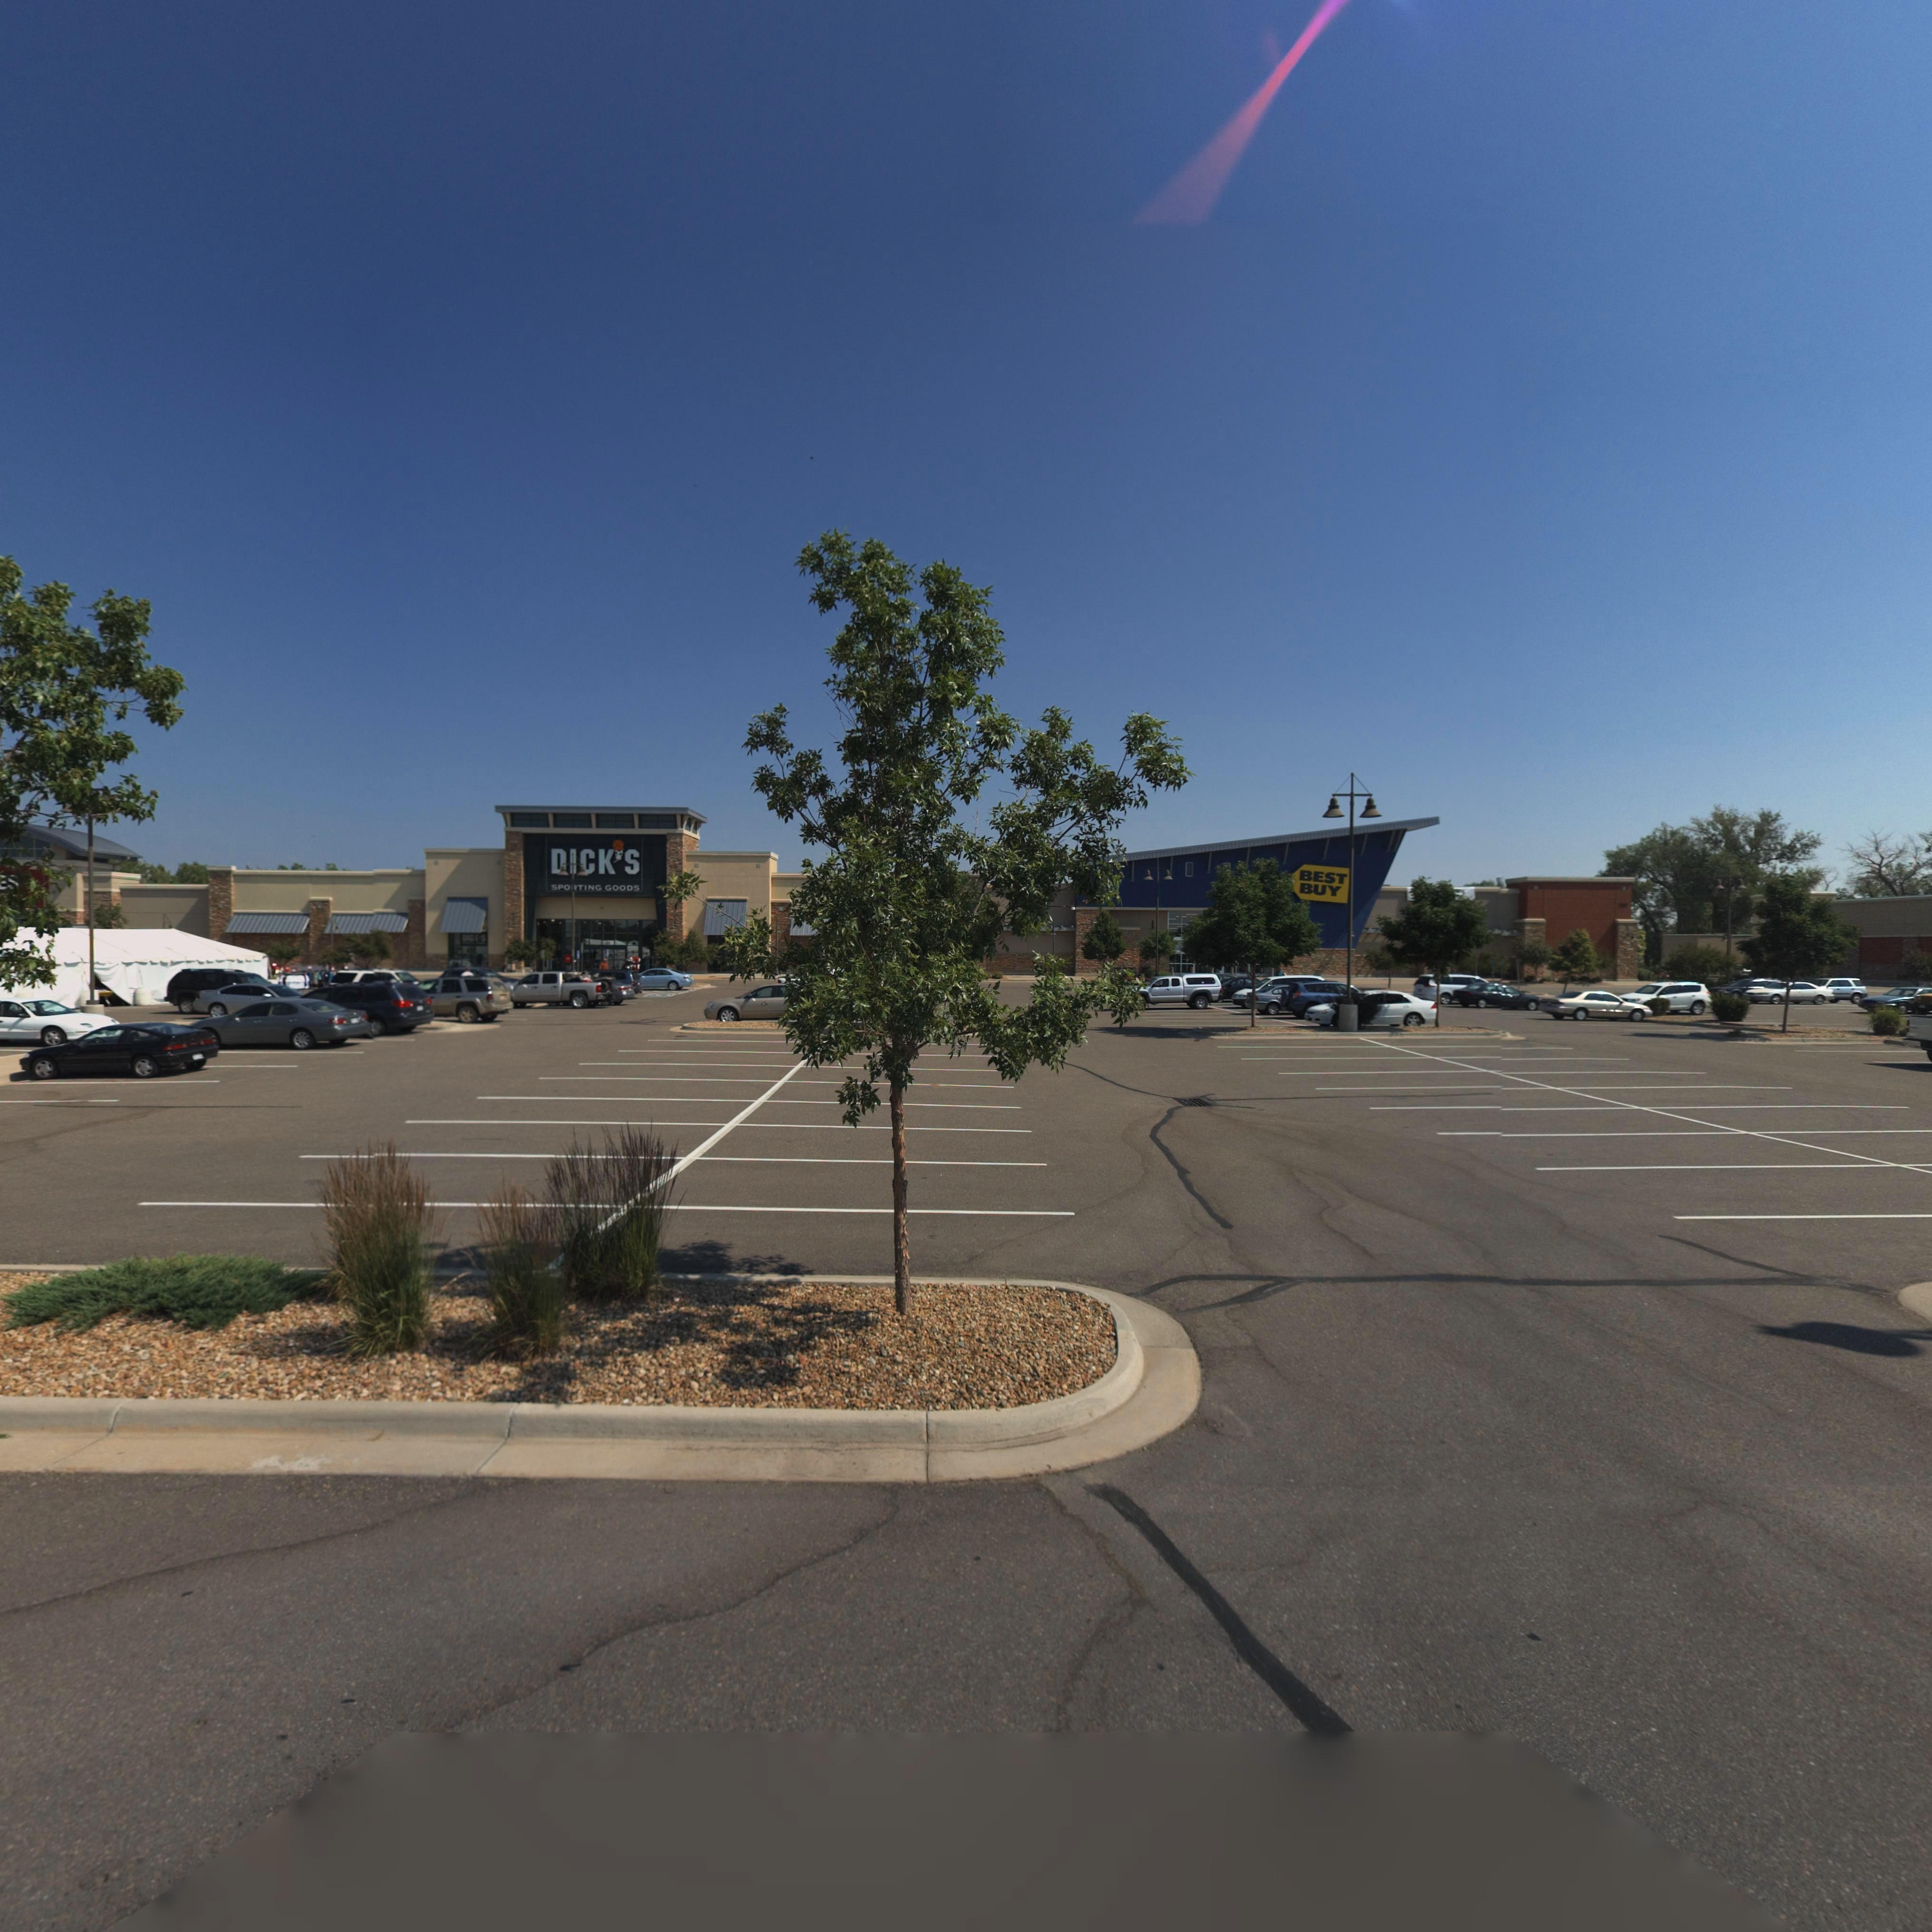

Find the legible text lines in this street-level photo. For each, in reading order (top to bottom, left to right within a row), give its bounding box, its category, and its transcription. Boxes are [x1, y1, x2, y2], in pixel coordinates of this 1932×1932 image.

[551, 848, 640, 875] BusinessName: DICK*S
[1298, 869, 1348, 885] BusinessName: BEST
[1299, 882, 1342, 897] BusinessName: BUY